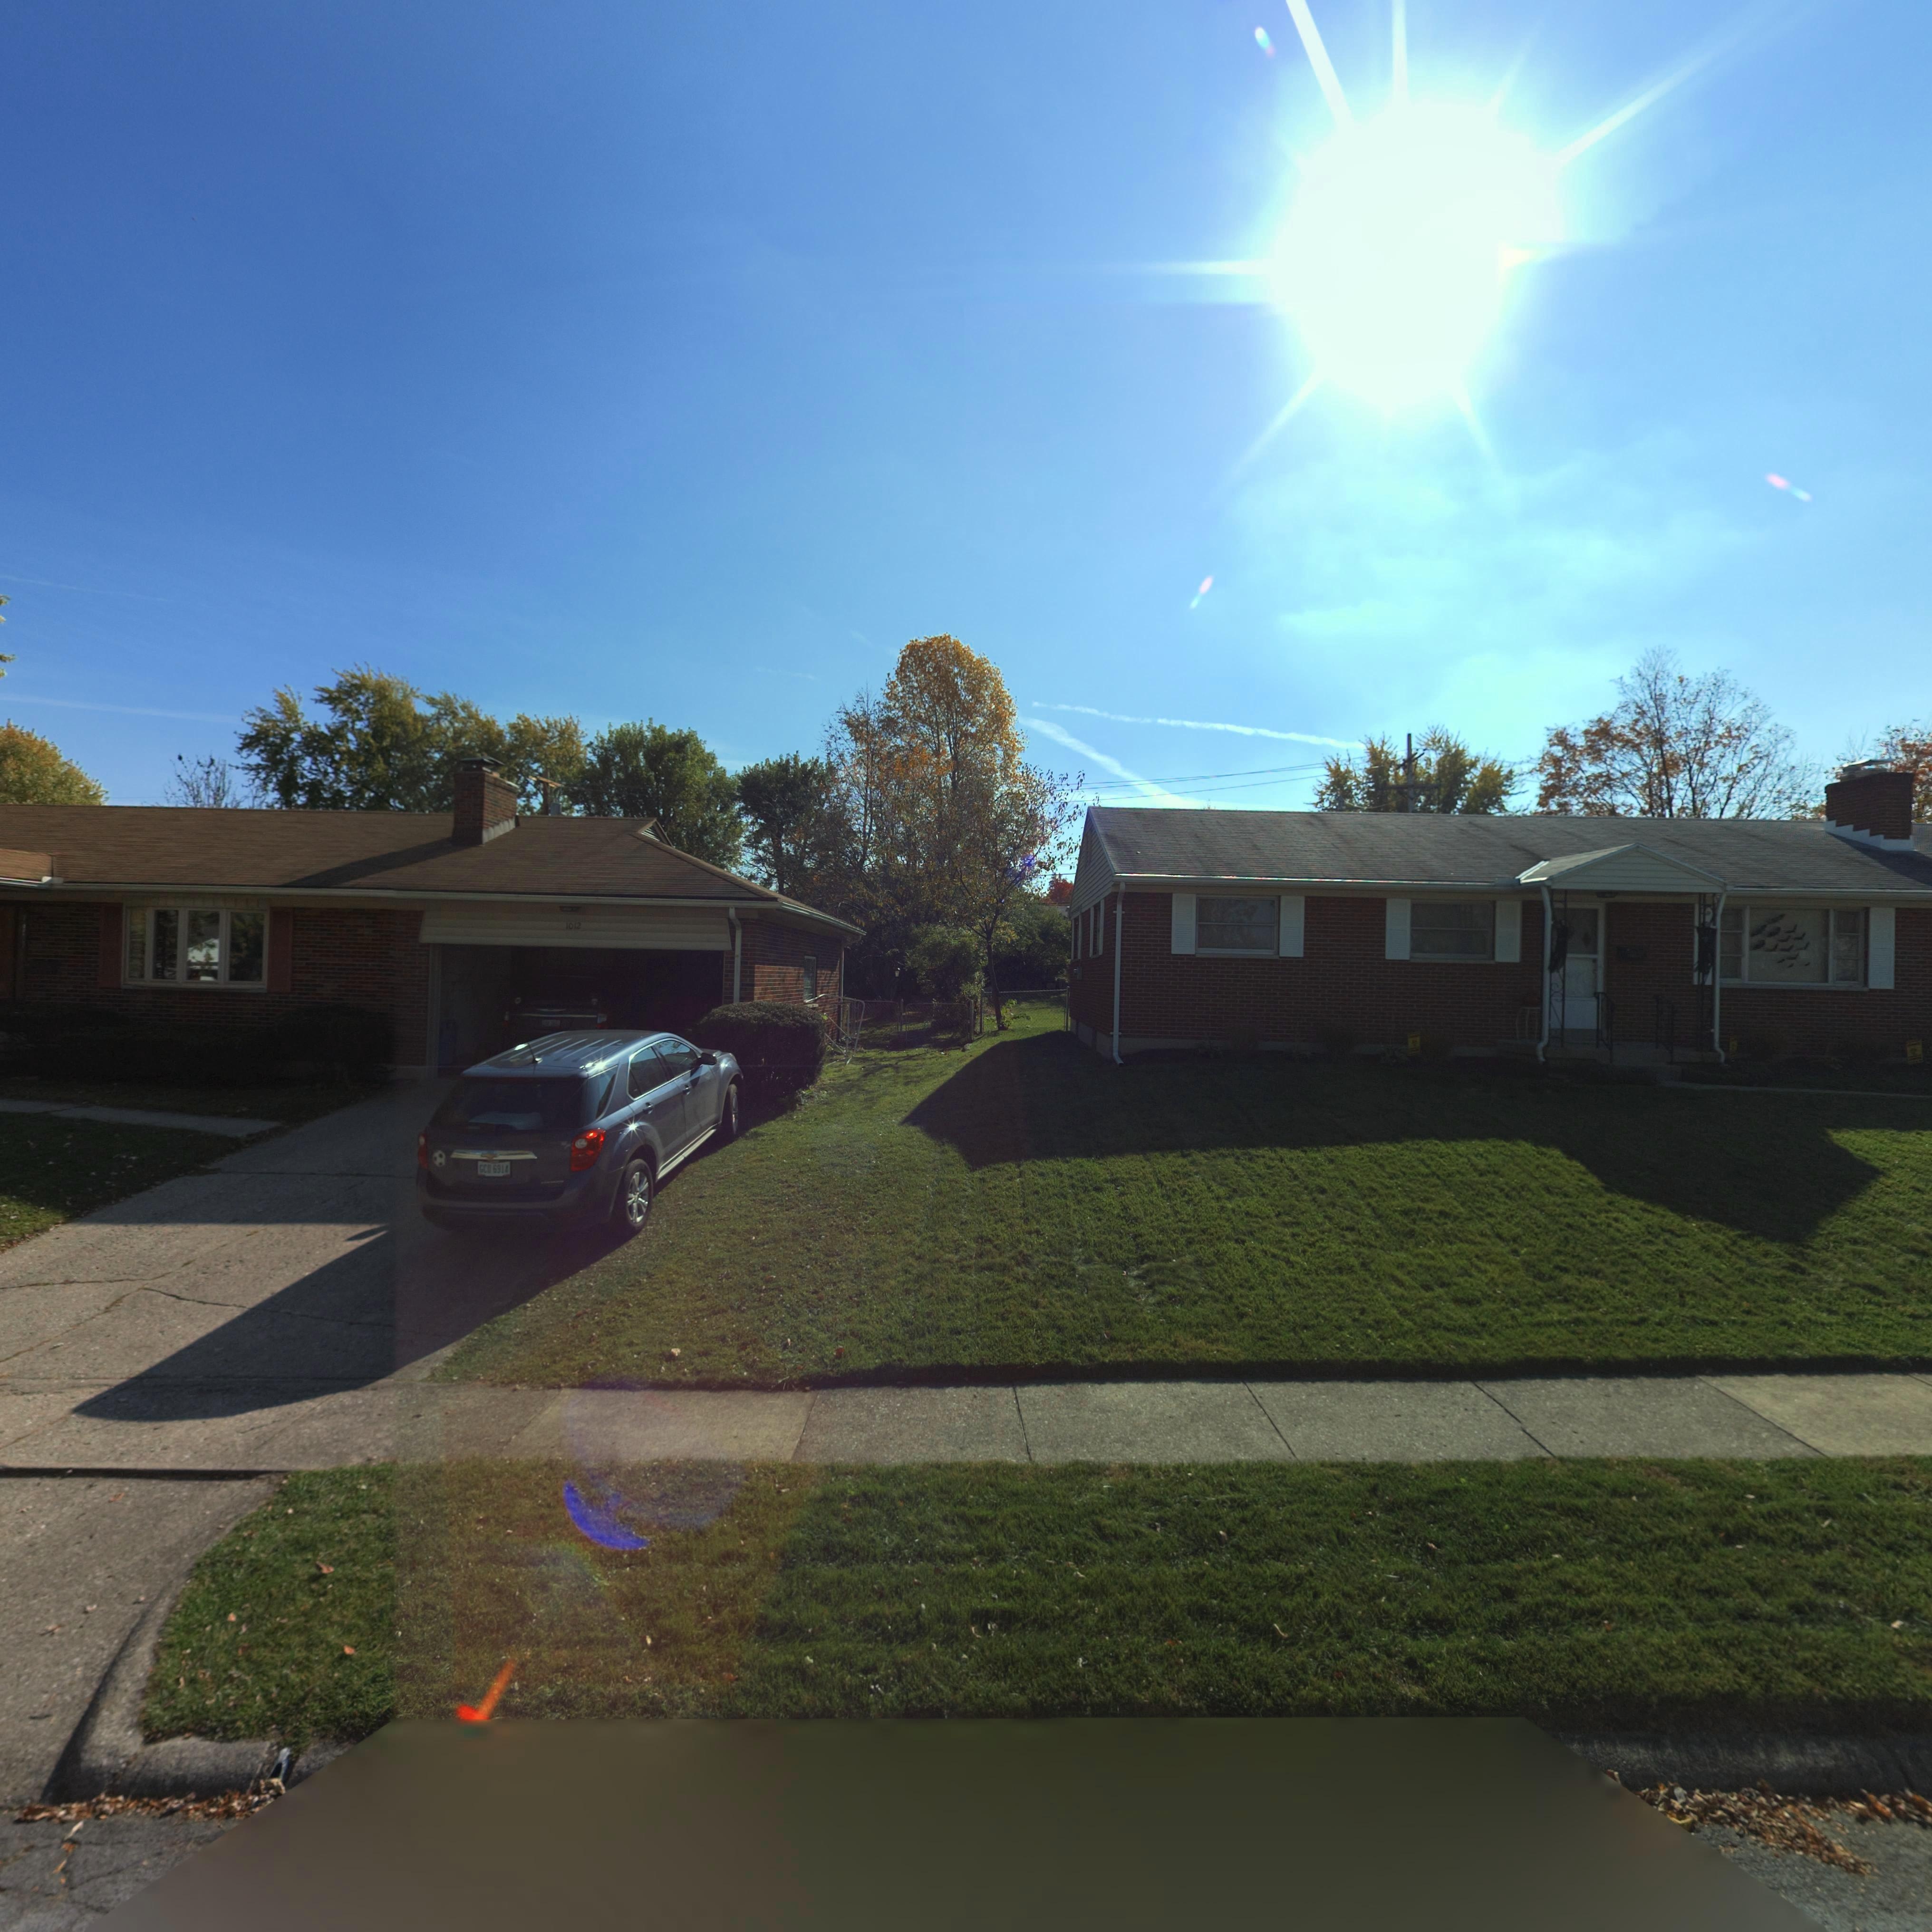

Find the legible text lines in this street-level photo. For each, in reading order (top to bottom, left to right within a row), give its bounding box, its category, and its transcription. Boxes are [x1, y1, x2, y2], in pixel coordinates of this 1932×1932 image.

[565, 921, 582, 930] StreetNumber: 1012
[479, 1163, 510, 1175] None: GCO 6914